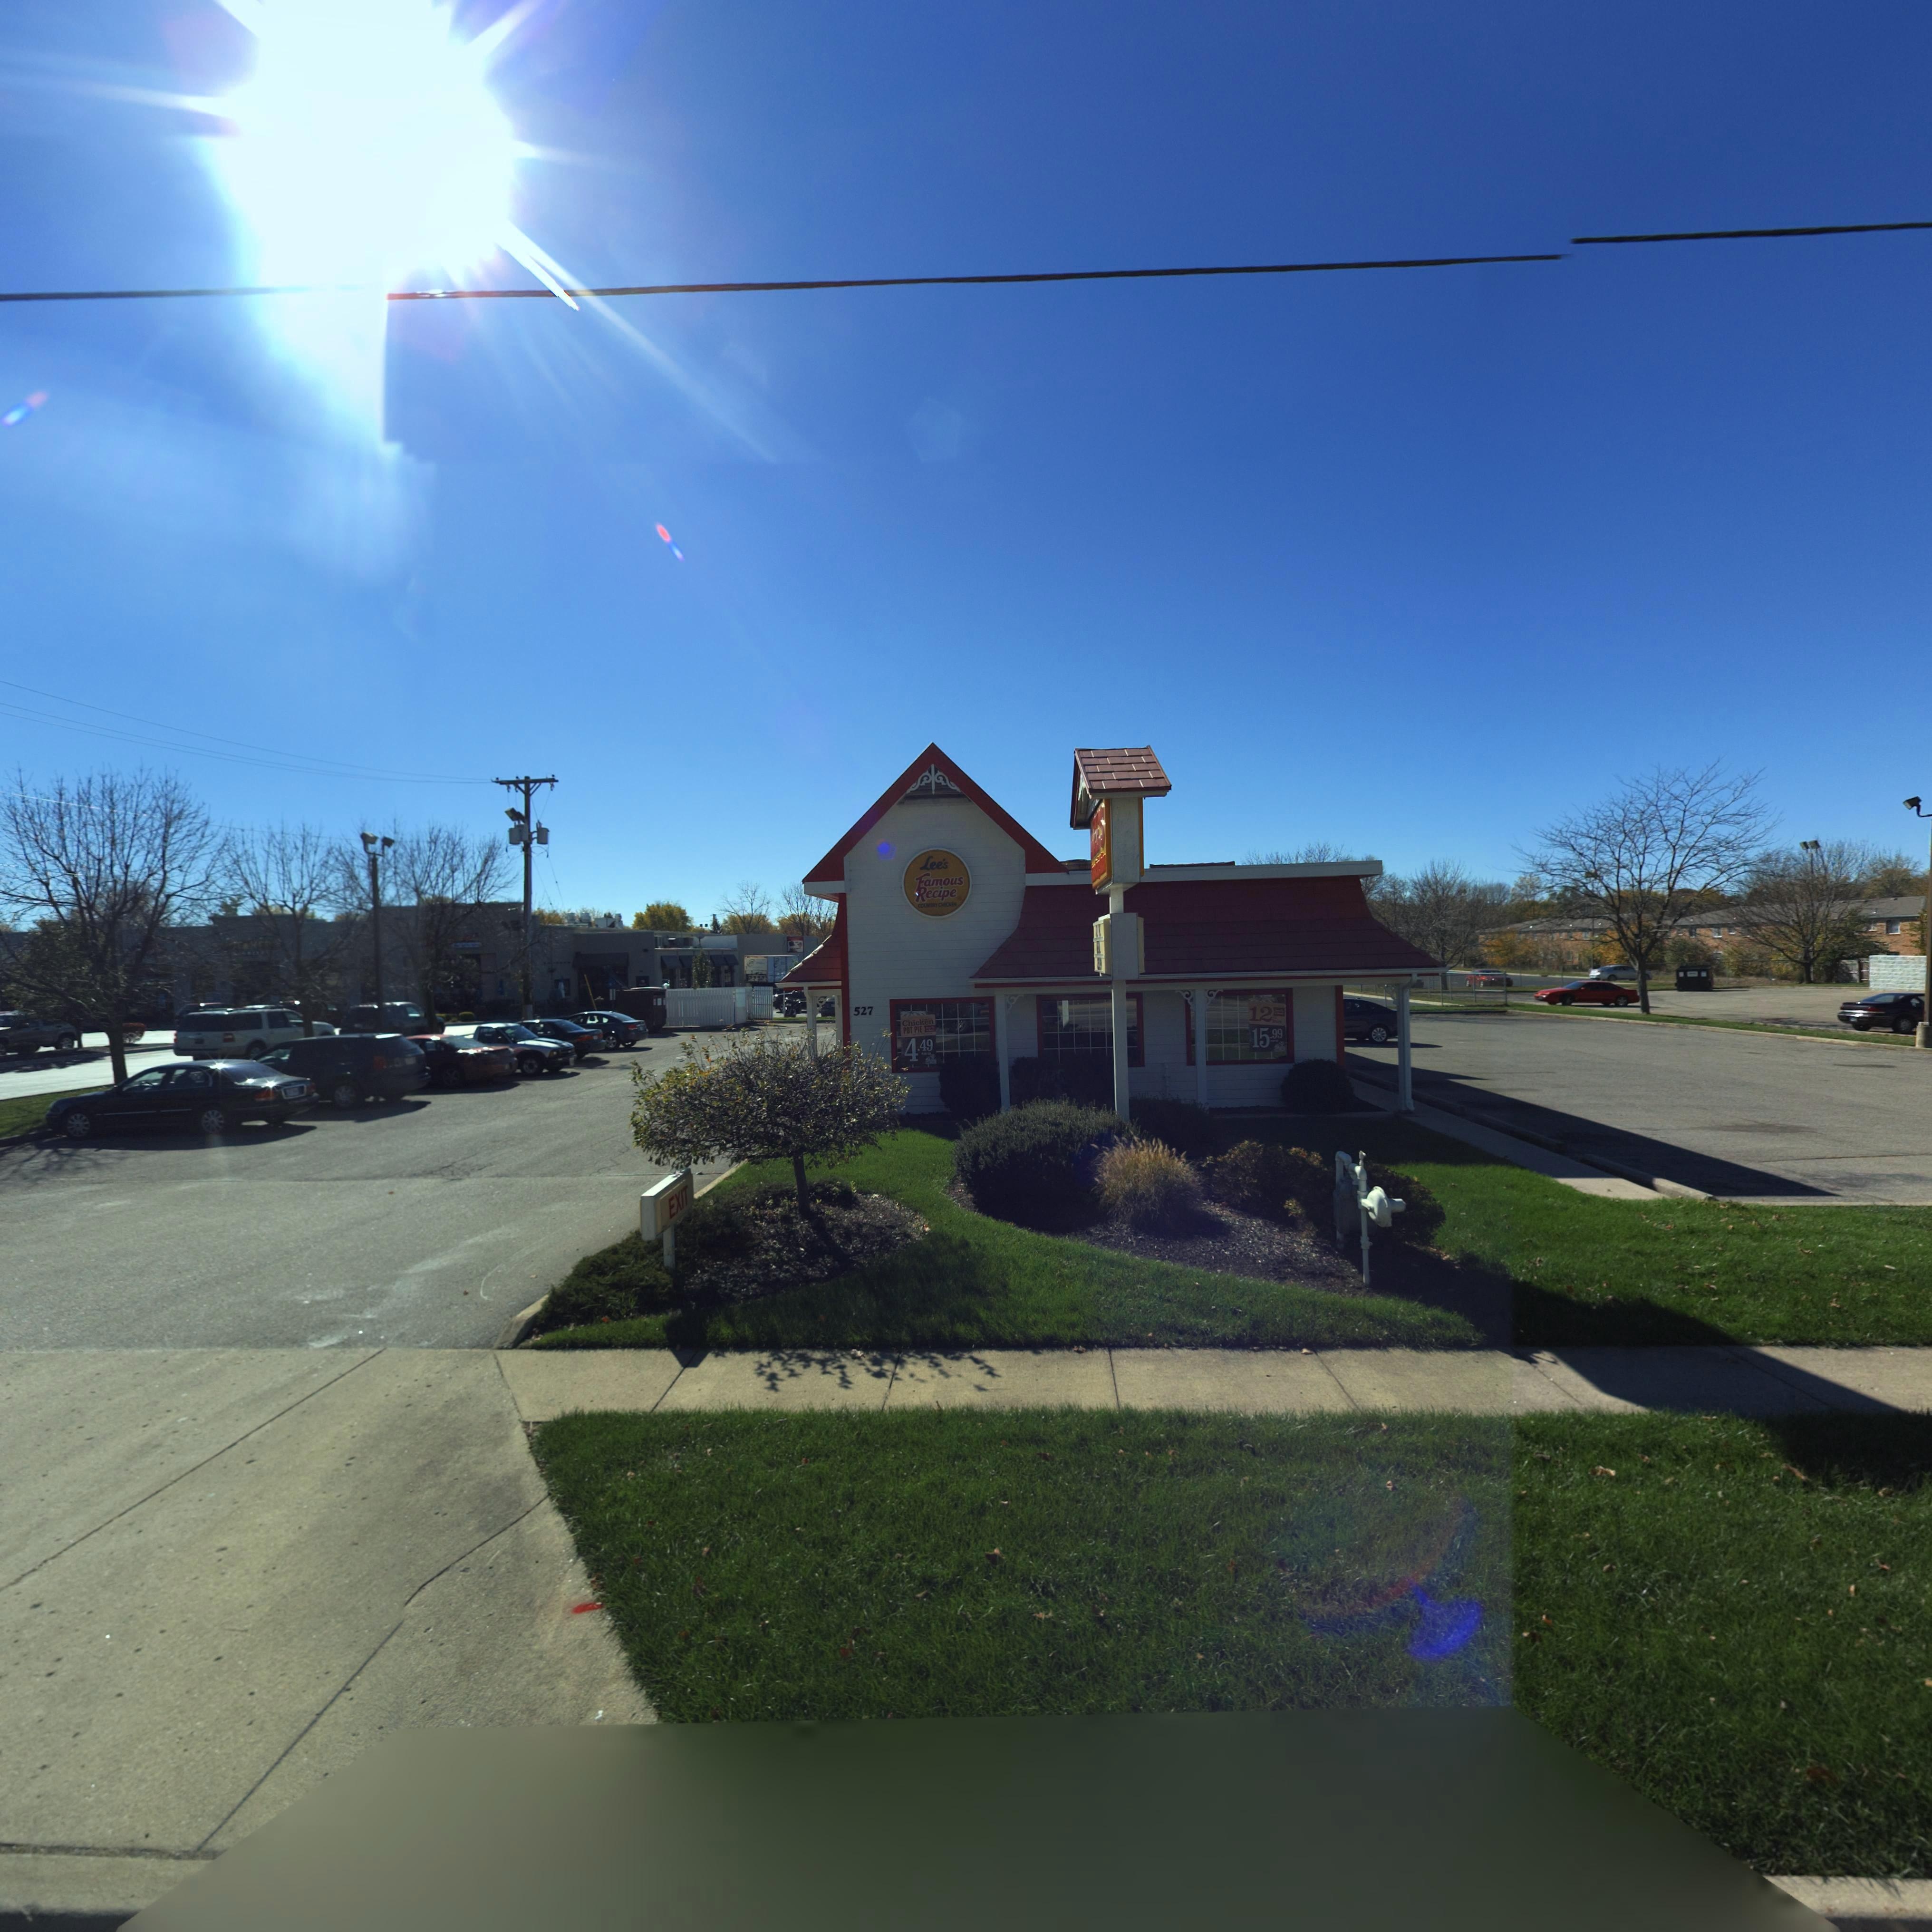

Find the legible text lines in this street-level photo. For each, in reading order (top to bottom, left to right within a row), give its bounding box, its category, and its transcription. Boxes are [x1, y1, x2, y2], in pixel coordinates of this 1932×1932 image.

[918, 854, 949, 871] BusinessName: Lee's
[914, 871, 964, 888] BusinessName: Famous
[913, 886, 958, 903] BusinessName: Recipe
[917, 901, 957, 909] BusinessName: COUNTRY CHICKEN
[852, 1005, 875, 1017] StreetNumber: 527
[1248, 1005, 1274, 1023] None: 12
[902, 1025, 924, 1034] None: POT PIE
[901, 1018, 935, 1027] None: Chicken
[1251, 1027, 1284, 1049] None: 15.99
[903, 1037, 934, 1063] None: 4.49
[667, 1183, 689, 1221] None: EXIT